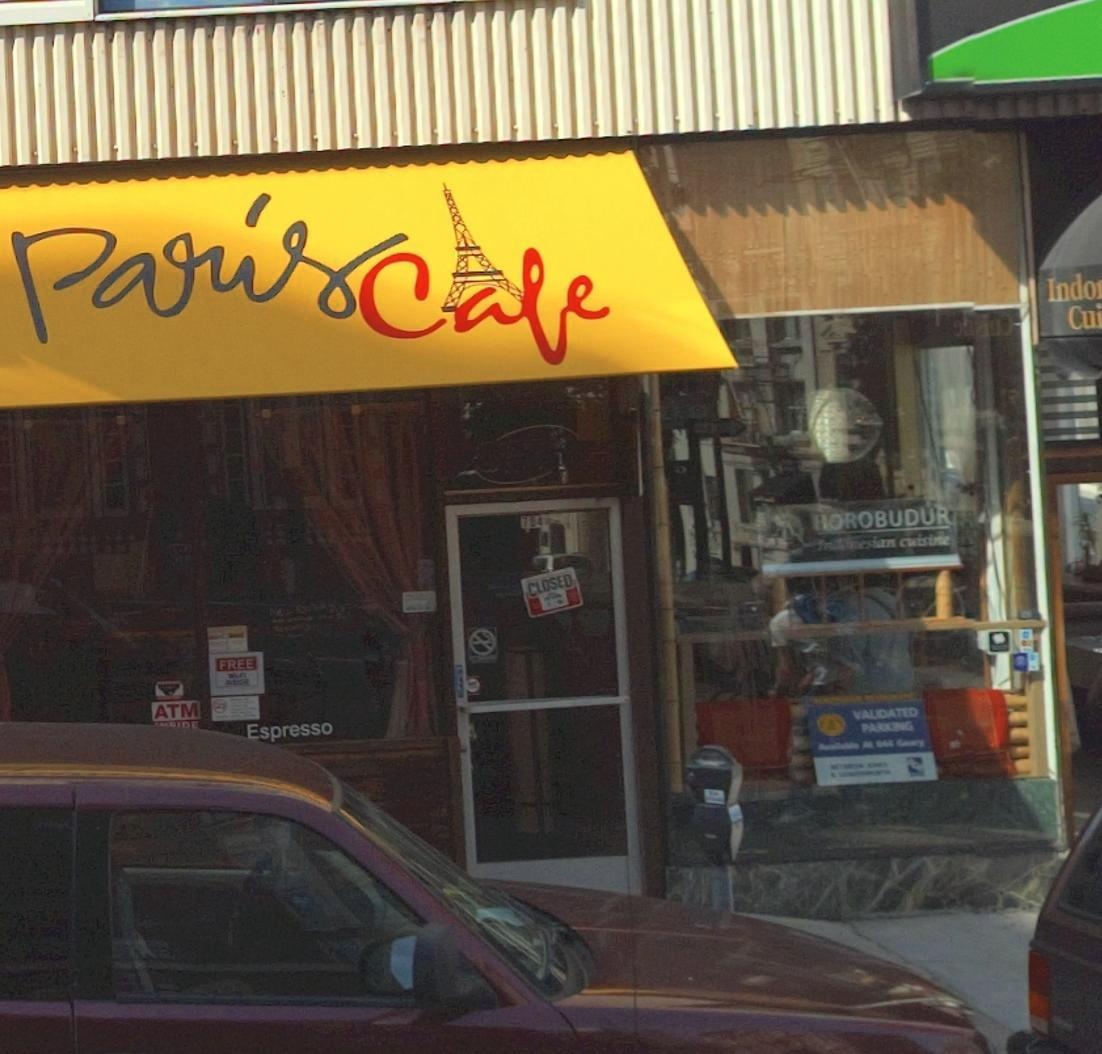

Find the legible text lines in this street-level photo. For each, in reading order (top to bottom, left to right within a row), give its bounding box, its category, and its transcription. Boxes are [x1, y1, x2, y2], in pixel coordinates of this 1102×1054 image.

[1, 184, 415, 351] BusinessName: Paris
[1042, 271, 1097, 303] None: Indo
[348, 238, 627, 370] BusinessName: Cafe
[1066, 304, 1099, 332] None: Cu
[524, 515, 543, 529] StreetNumber: 704
[812, 505, 953, 532] None: HOROBUDUR
[526, 572, 575, 597] None: CLOSED
[216, 657, 255, 672] None: FREE
[152, 702, 199, 720] None: ATM
[851, 705, 921, 720] None: VALIDATED
[245, 717, 334, 745] None: Espresso
[859, 719, 915, 734] None: PARKING